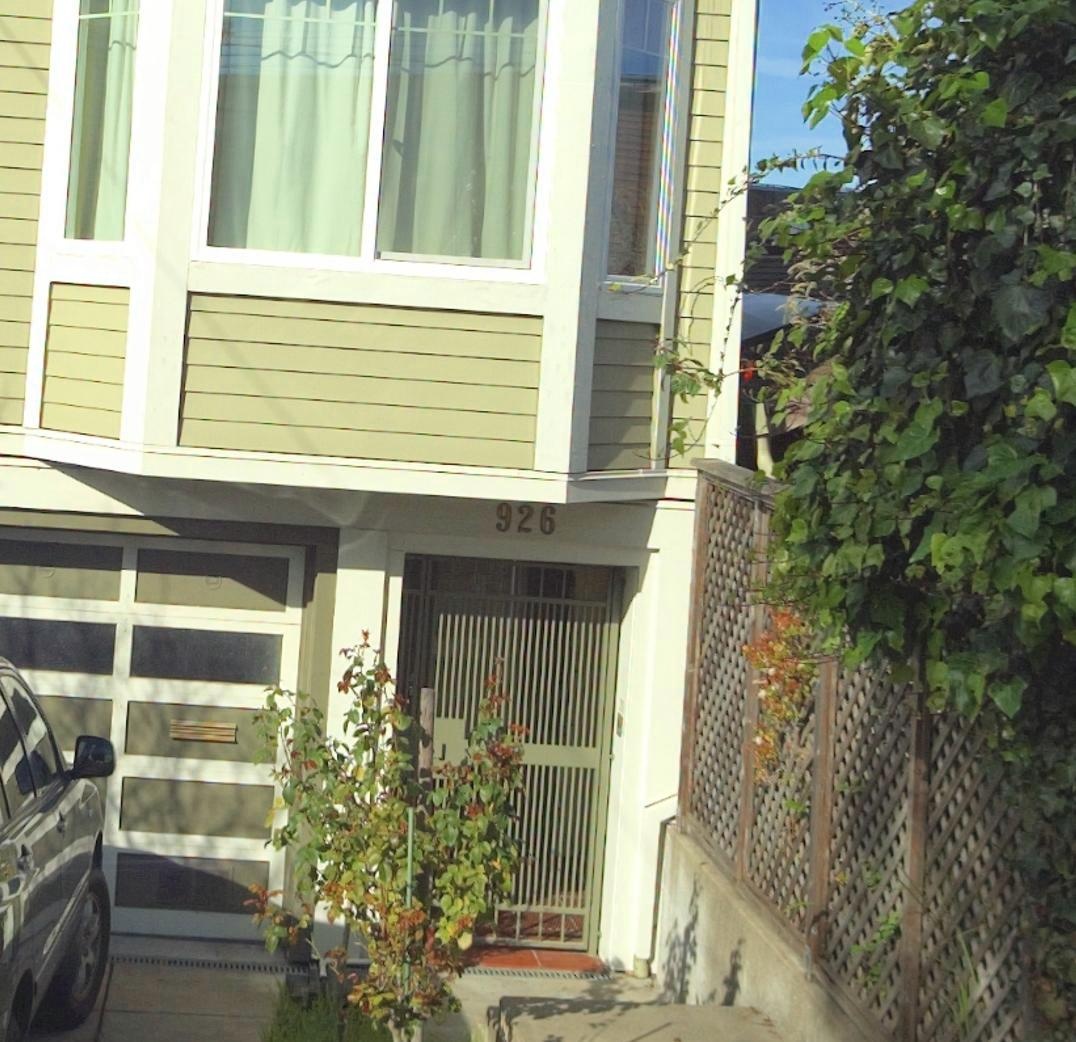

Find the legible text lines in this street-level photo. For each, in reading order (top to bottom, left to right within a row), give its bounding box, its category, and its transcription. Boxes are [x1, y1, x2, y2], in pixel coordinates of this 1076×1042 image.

[494, 501, 557, 536] StreetNumber: 926